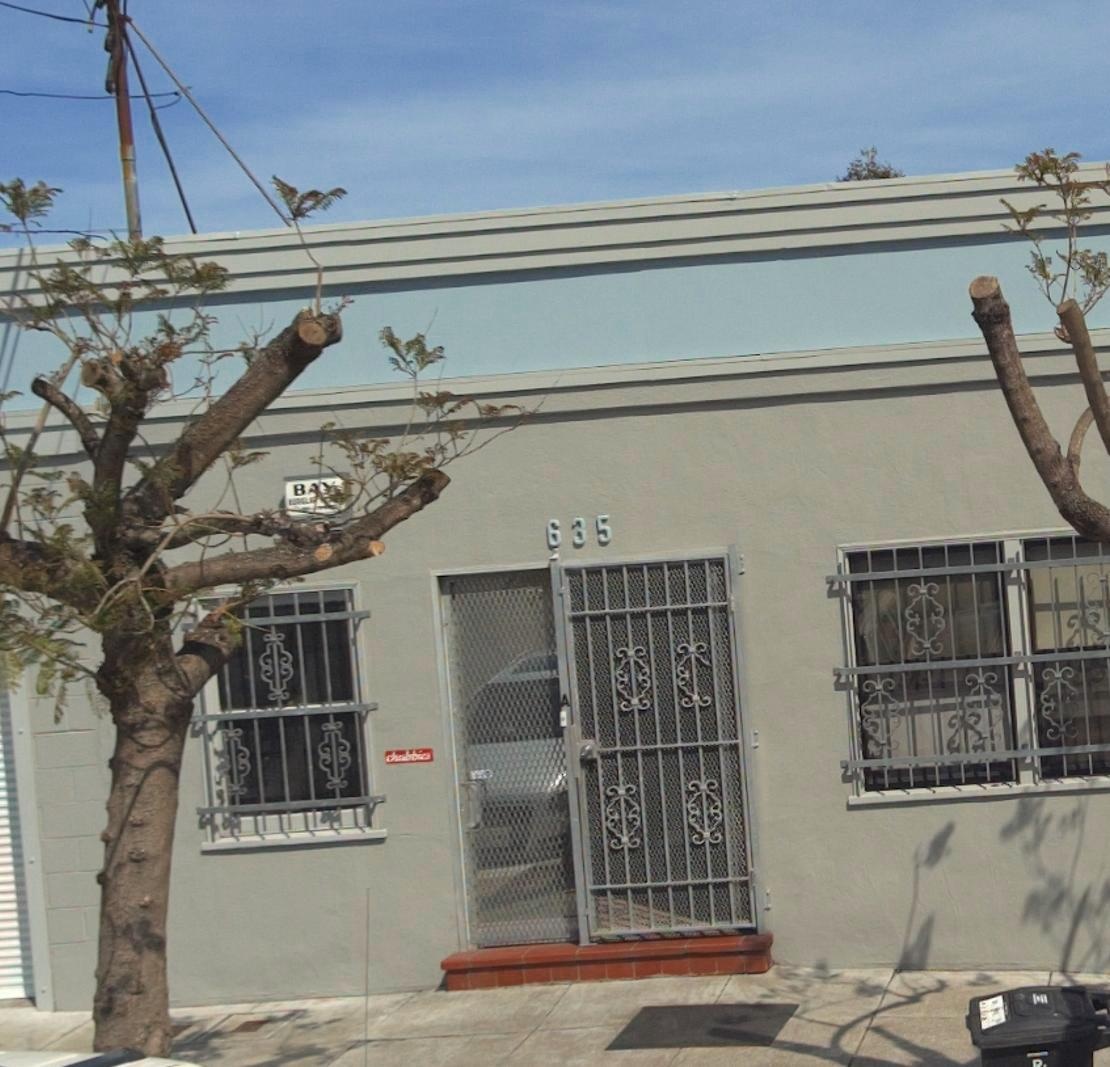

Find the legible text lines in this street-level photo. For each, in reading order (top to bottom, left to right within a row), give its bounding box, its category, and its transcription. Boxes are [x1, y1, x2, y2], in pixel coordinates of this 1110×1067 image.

[290, 482, 308, 498] None: B
[546, 513, 613, 547] StreetNumber: 635